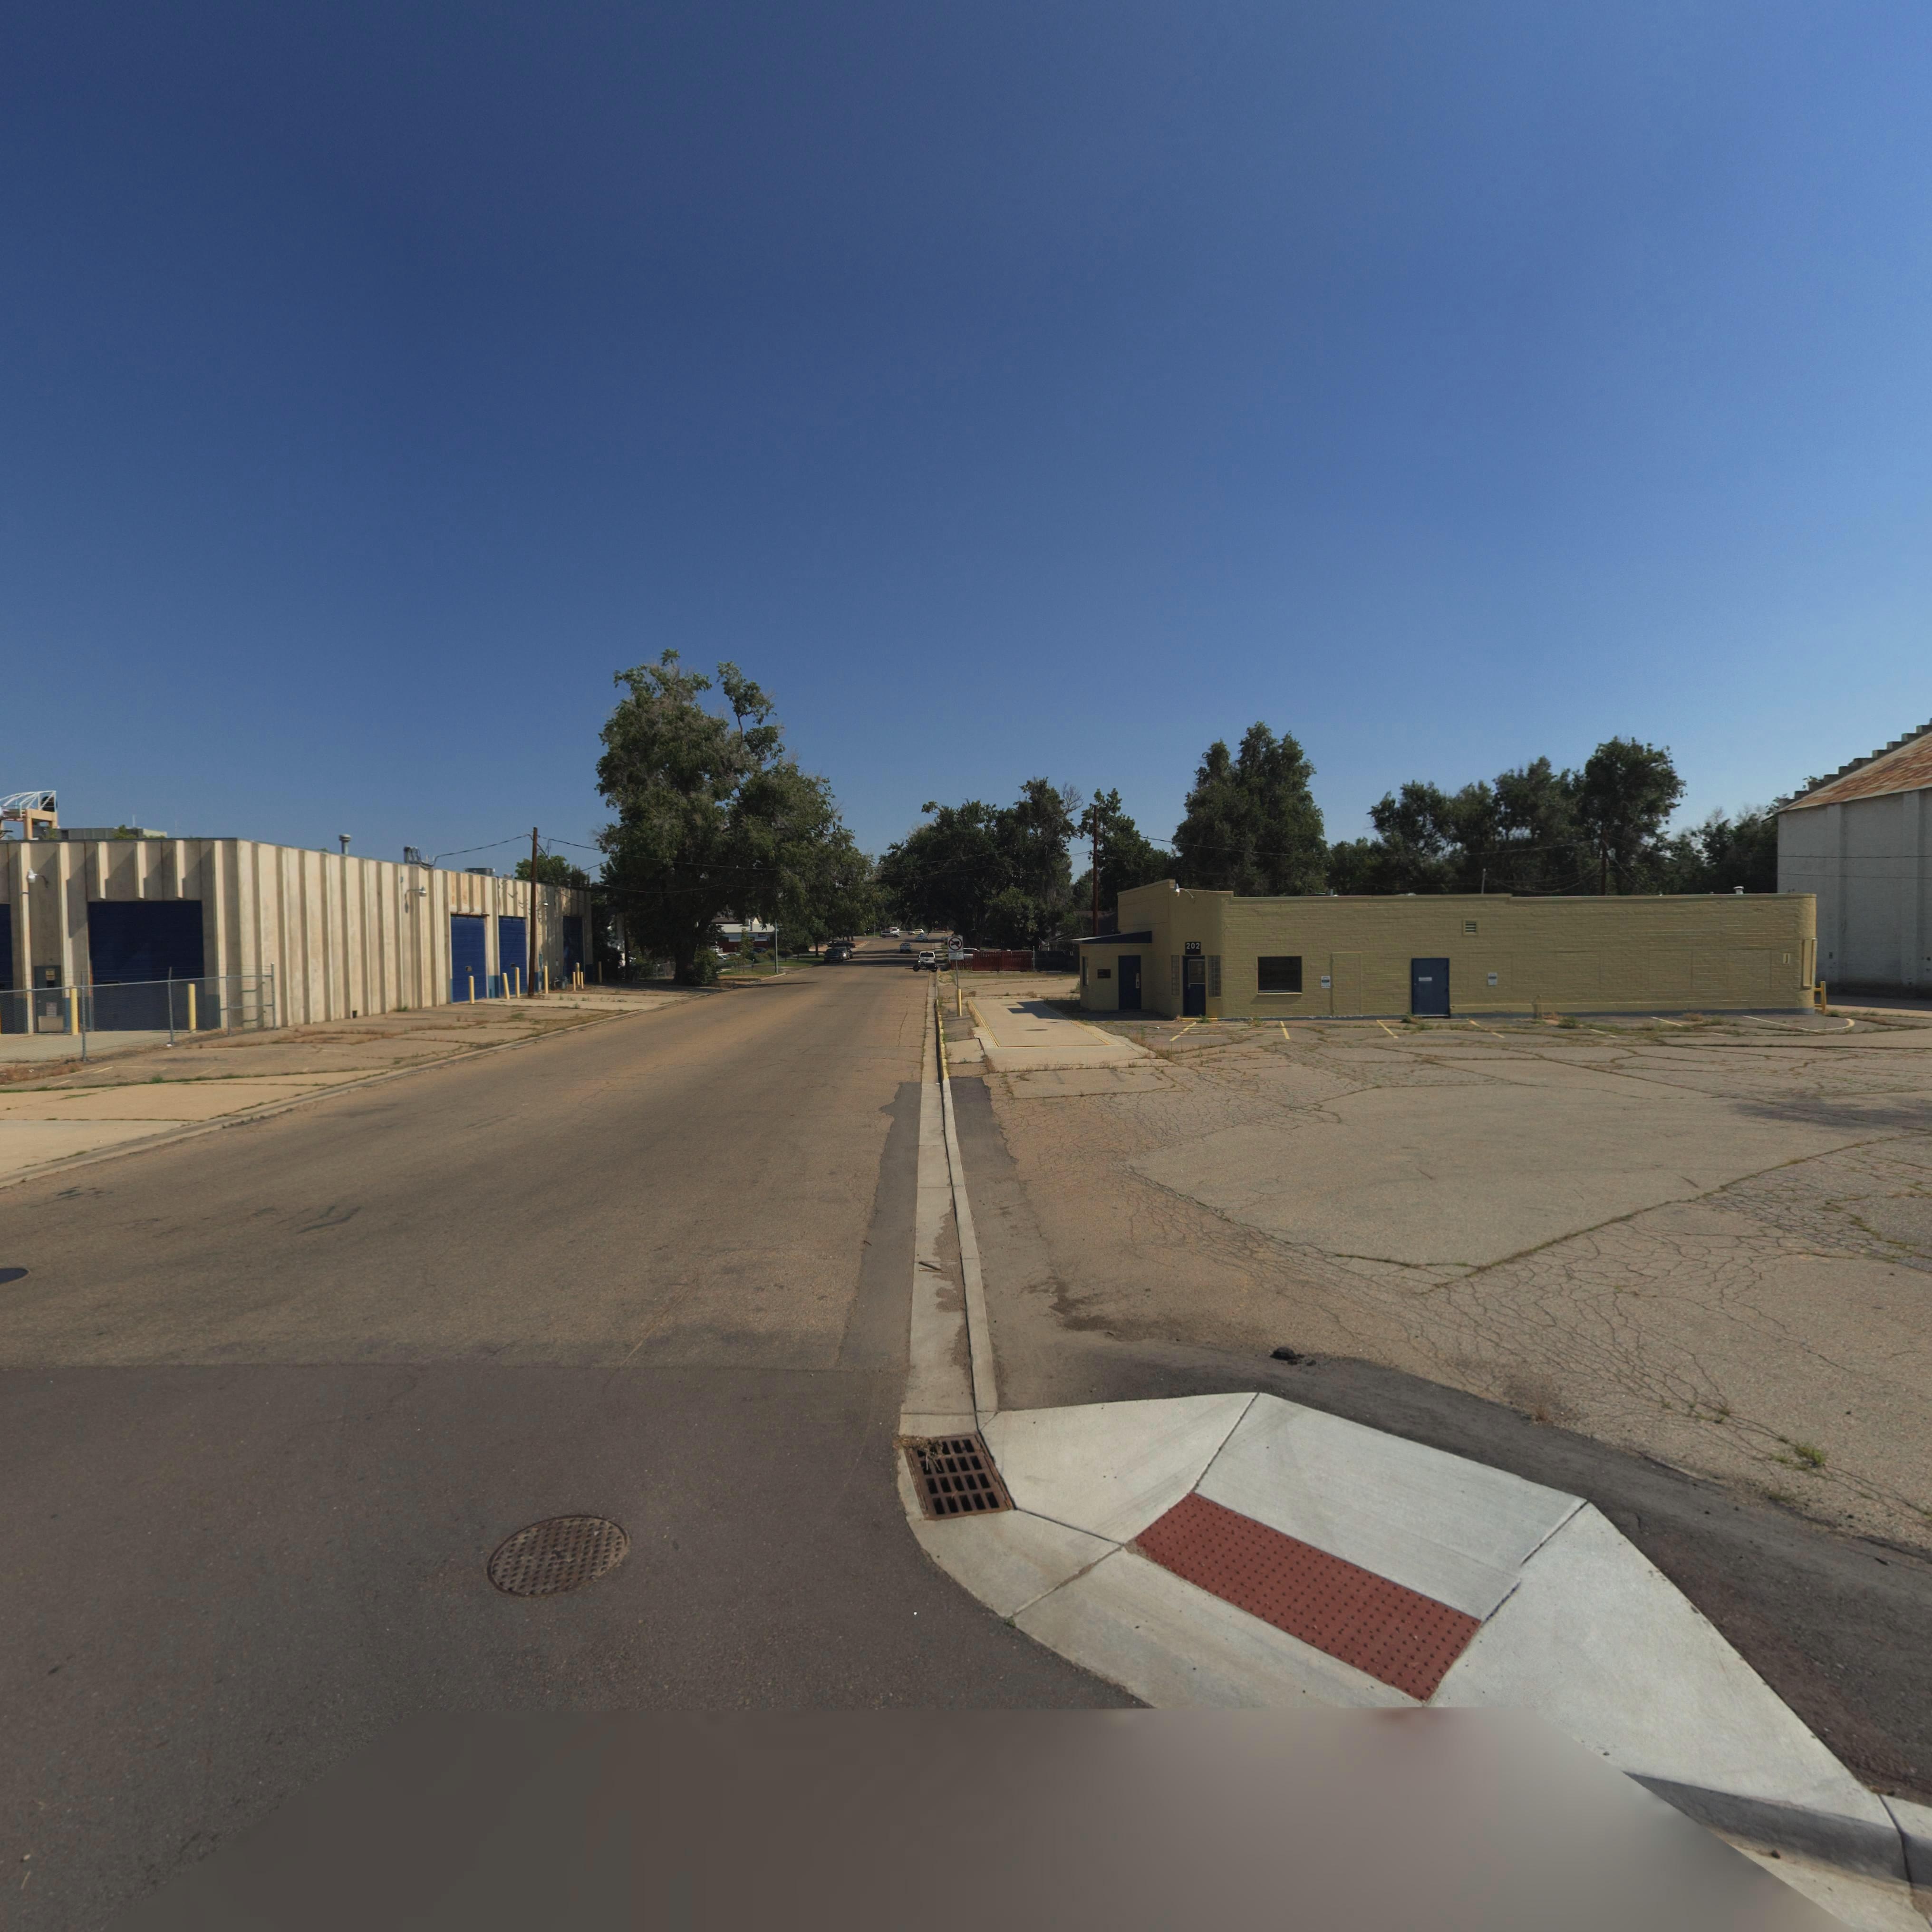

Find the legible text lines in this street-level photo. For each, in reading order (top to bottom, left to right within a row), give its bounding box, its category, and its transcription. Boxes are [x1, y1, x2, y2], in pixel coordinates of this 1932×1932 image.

[1186, 942, 1200, 949] StreetNumber: 202